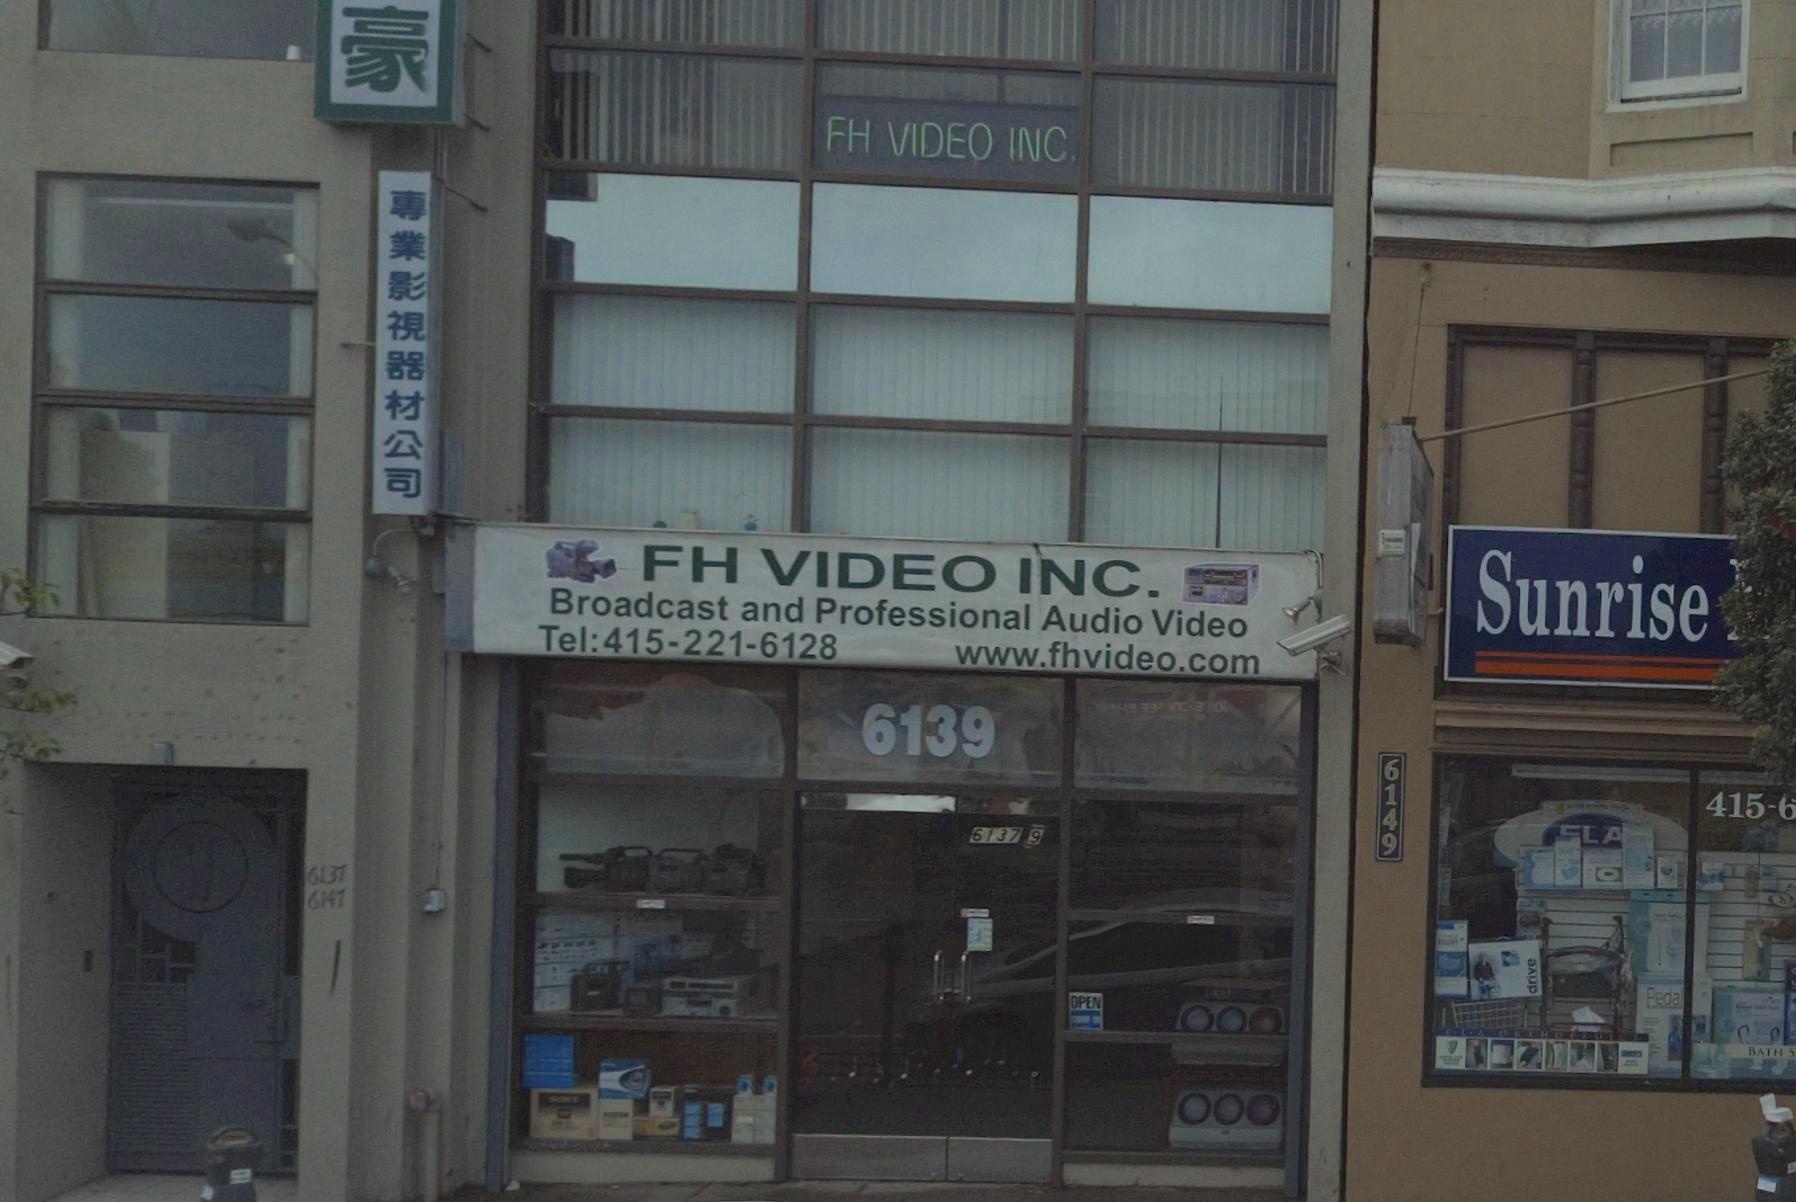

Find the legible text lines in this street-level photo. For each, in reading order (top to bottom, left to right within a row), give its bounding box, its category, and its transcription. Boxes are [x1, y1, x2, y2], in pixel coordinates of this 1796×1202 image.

[823, 110, 1079, 168] BusinessName: FH VIDEO INC.
[639, 539, 1165, 603] BusinessName: FH VIDEO INC.
[545, 584, 1251, 643] None: Broadcast and Professional Audio Video
[1473, 544, 1714, 645] BusinessName: Sunrise
[530, 616, 842, 665] None: Tel:415-221-6128
[950, 635, 1264, 681] None: www.fhvideo.com
[859, 699, 998, 761] StreetNumber: 6139
[1379, 756, 1401, 858] None: 6149
[1697, 787, 1769, 824] None: 415
[970, 826, 1025, 844] StreetNumber: 6137
[1028, 828, 1045, 846] StreetNumber: 9
[1579, 822, 1630, 850] None: LA
[300, 858, 353, 893] StreetNumber: 6137
[302, 883, 350, 917] StreetNumber: 6147
[1522, 957, 1541, 996] None: drive
[1067, 993, 1104, 1013] None: OPEN
[1644, 983, 1686, 1012] None: Pedal
[1742, 1045, 1787, 1059] None: BATH